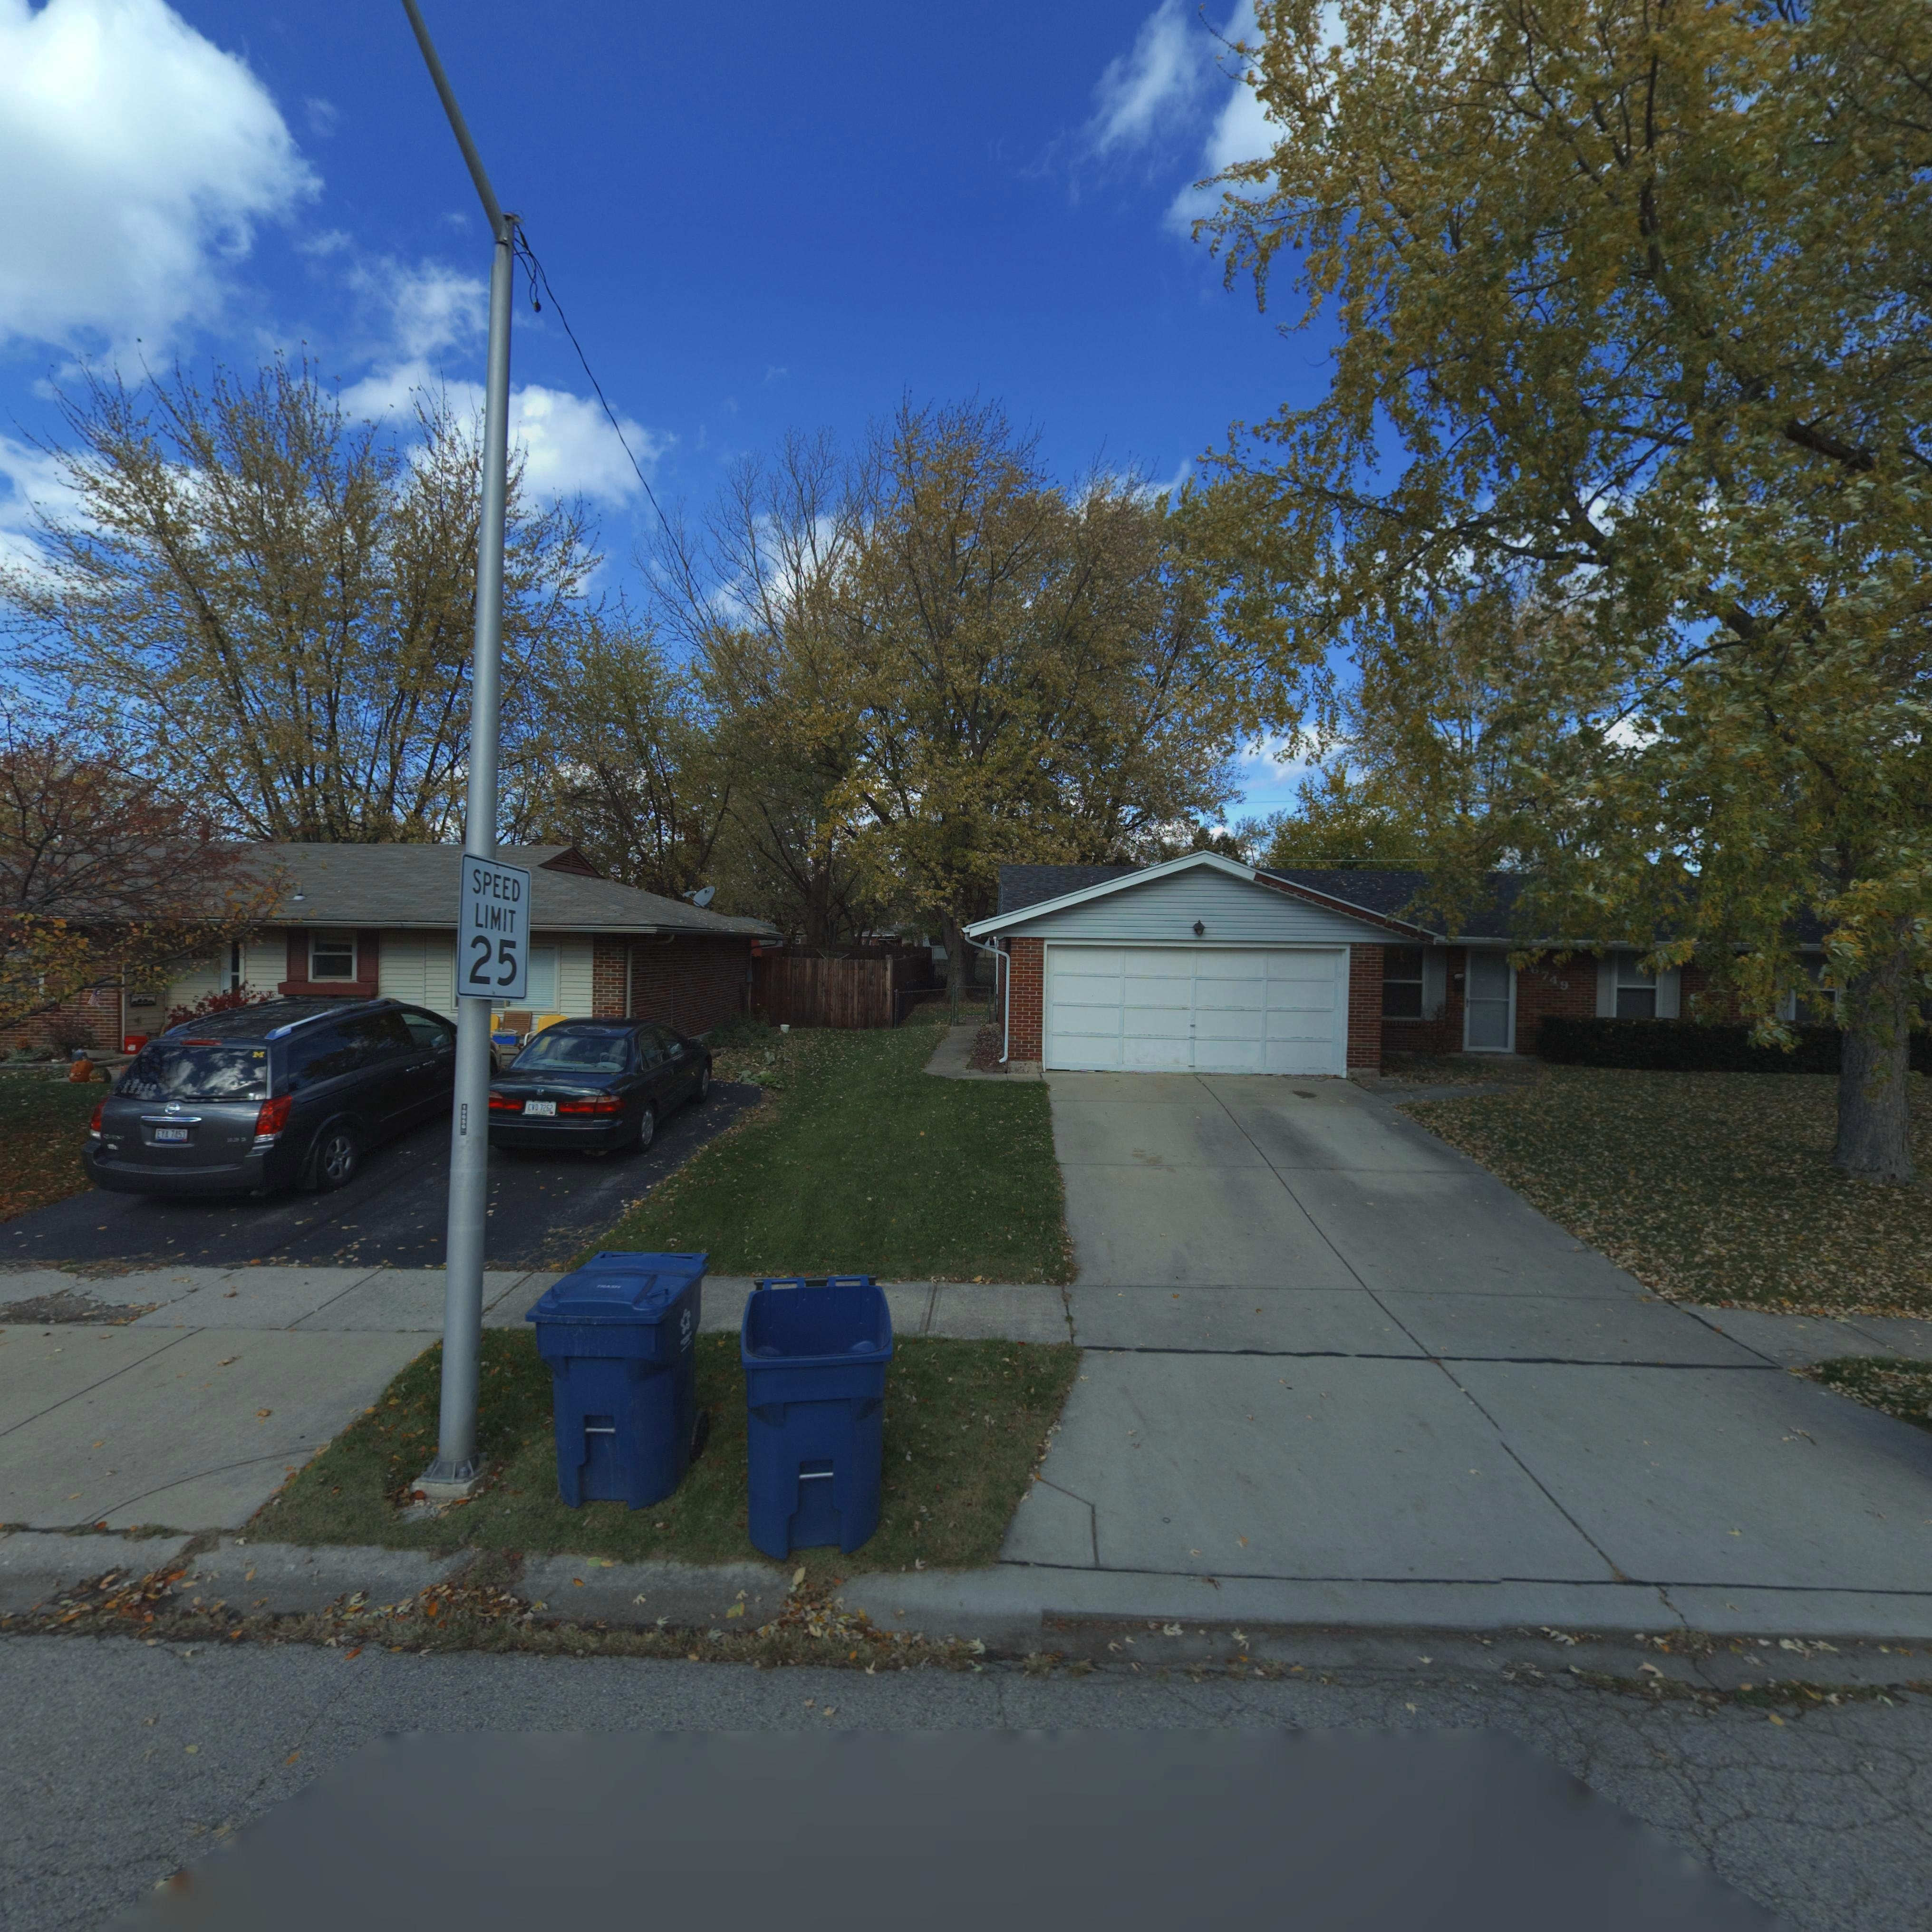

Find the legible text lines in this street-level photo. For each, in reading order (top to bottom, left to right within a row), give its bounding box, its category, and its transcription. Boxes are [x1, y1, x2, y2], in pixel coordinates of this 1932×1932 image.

[190, 949, 215, 959] StreetNumber: 6743
[1530, 964, 1569, 991] StreetNumber: 6749